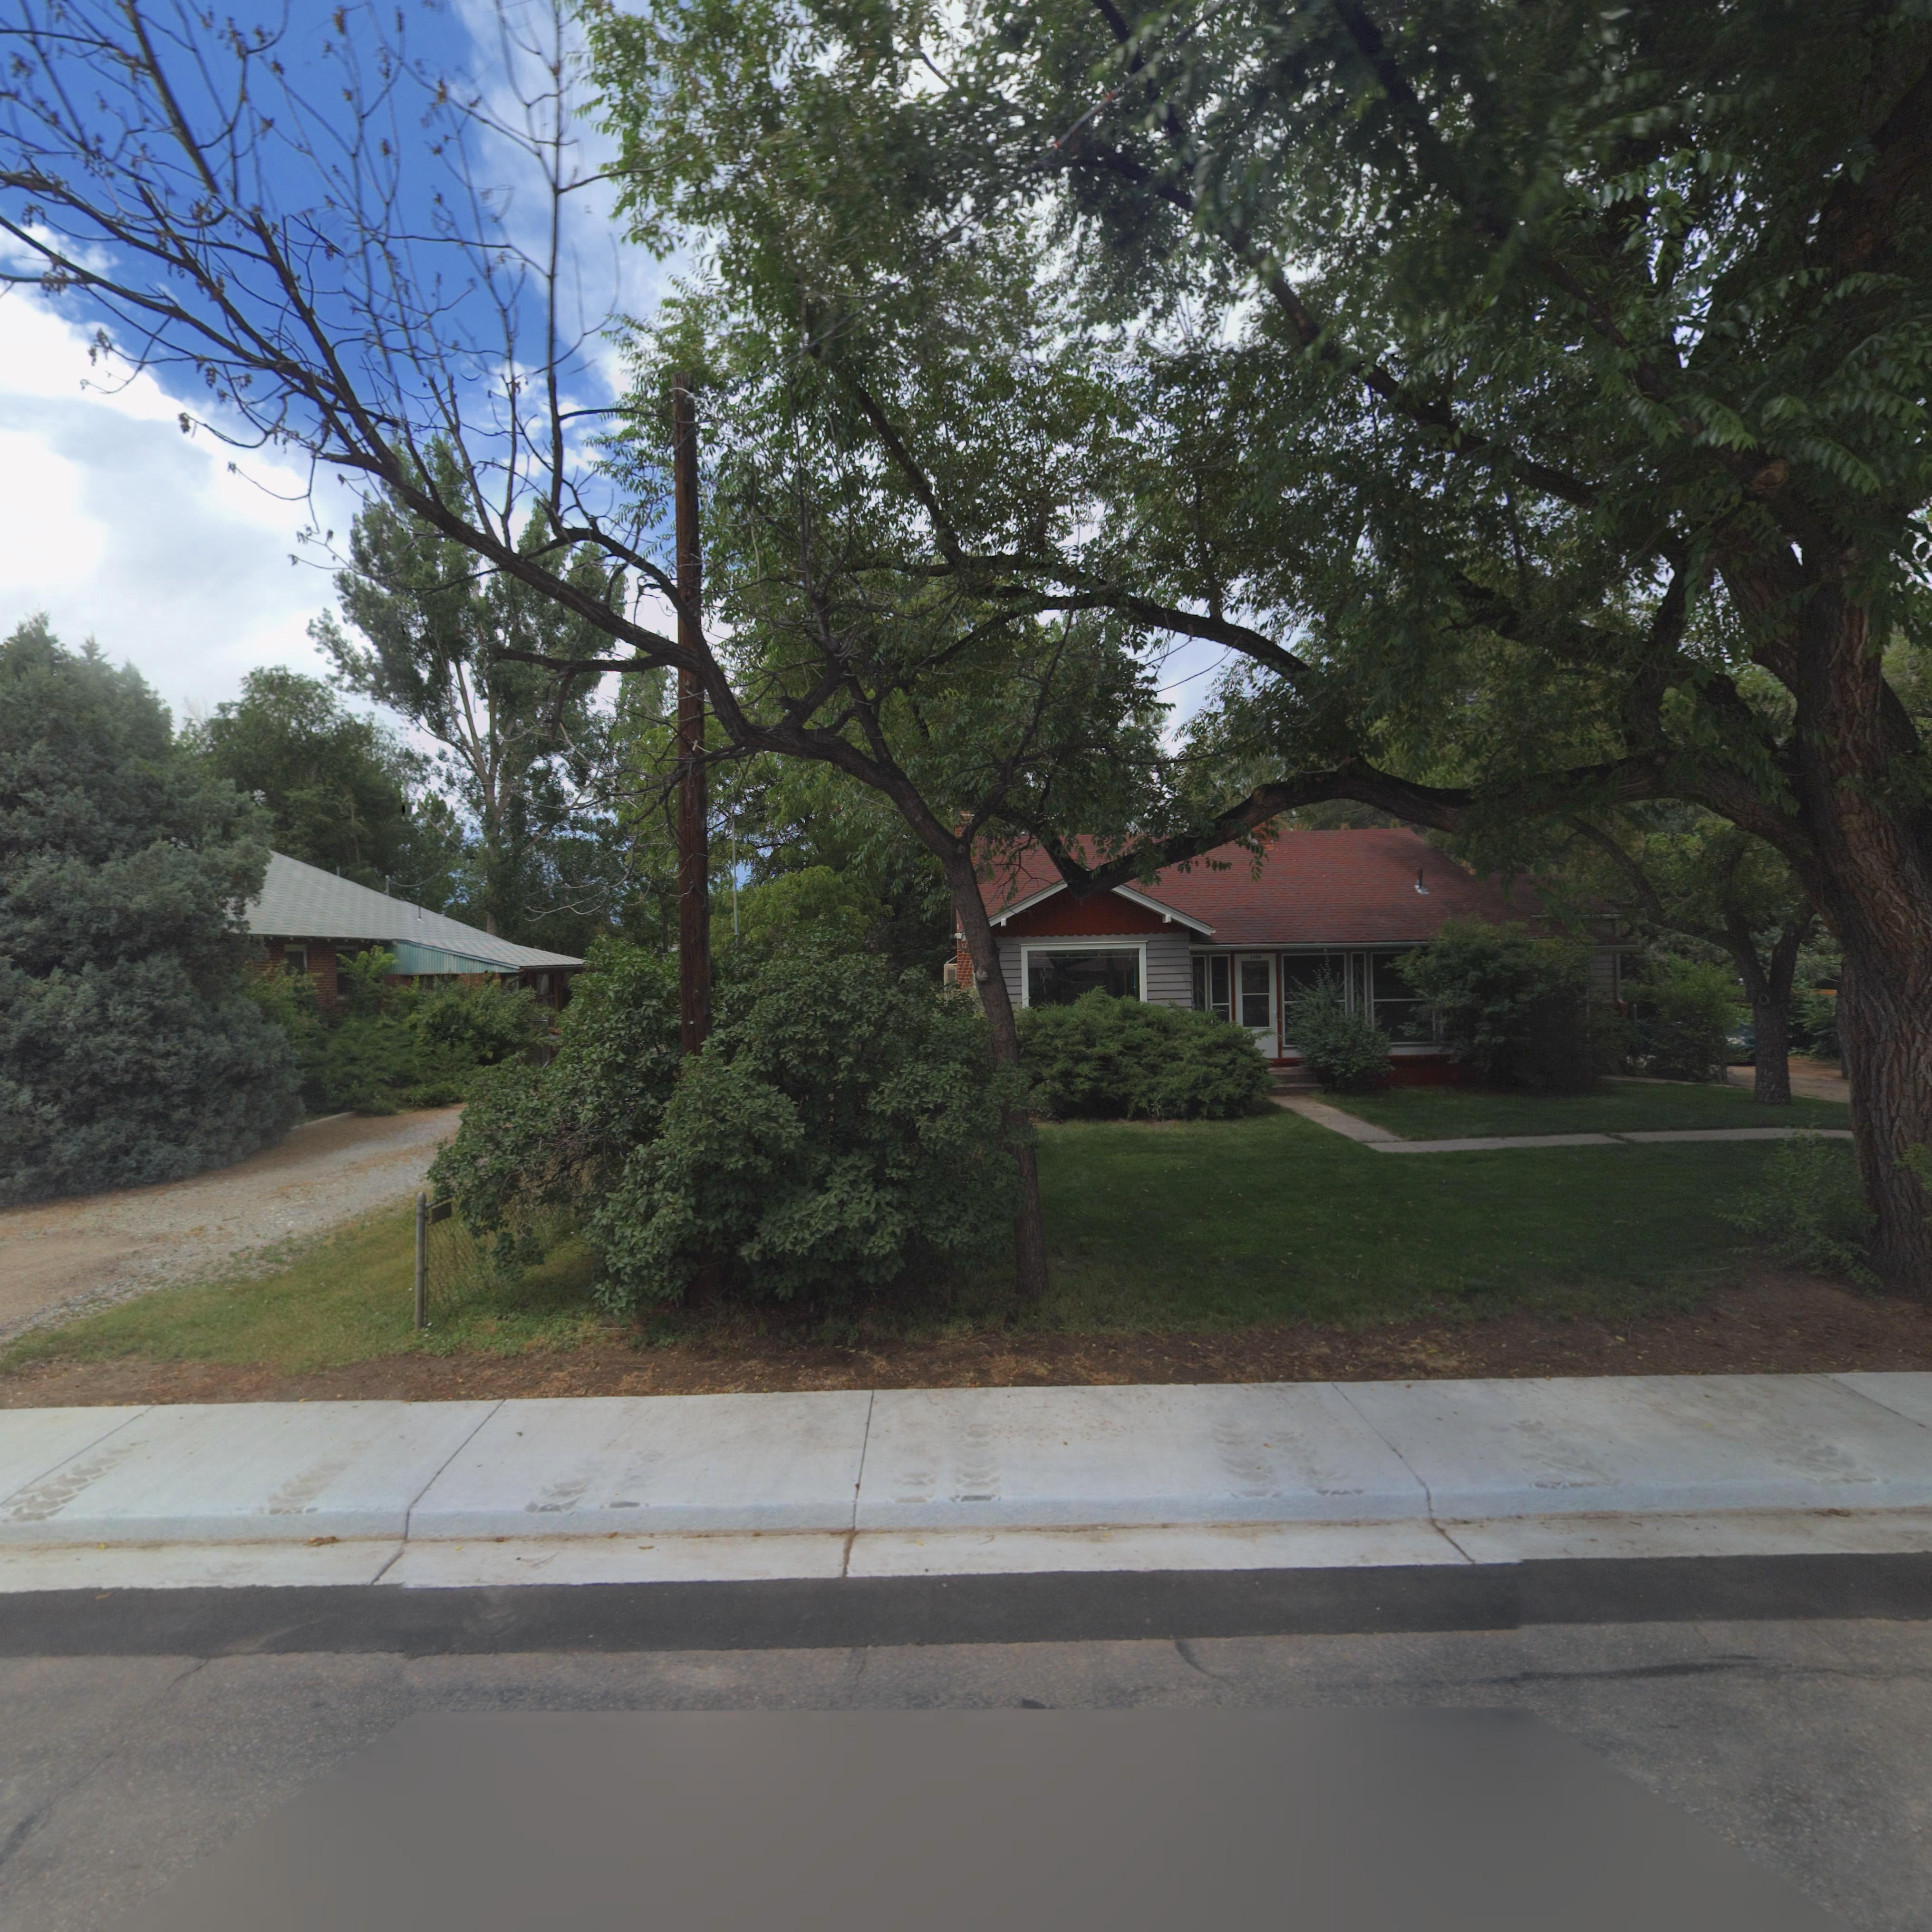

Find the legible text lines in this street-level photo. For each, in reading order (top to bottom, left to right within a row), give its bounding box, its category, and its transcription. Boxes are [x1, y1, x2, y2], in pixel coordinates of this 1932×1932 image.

[1249, 954, 1262, 959] StreetNumber: 1306